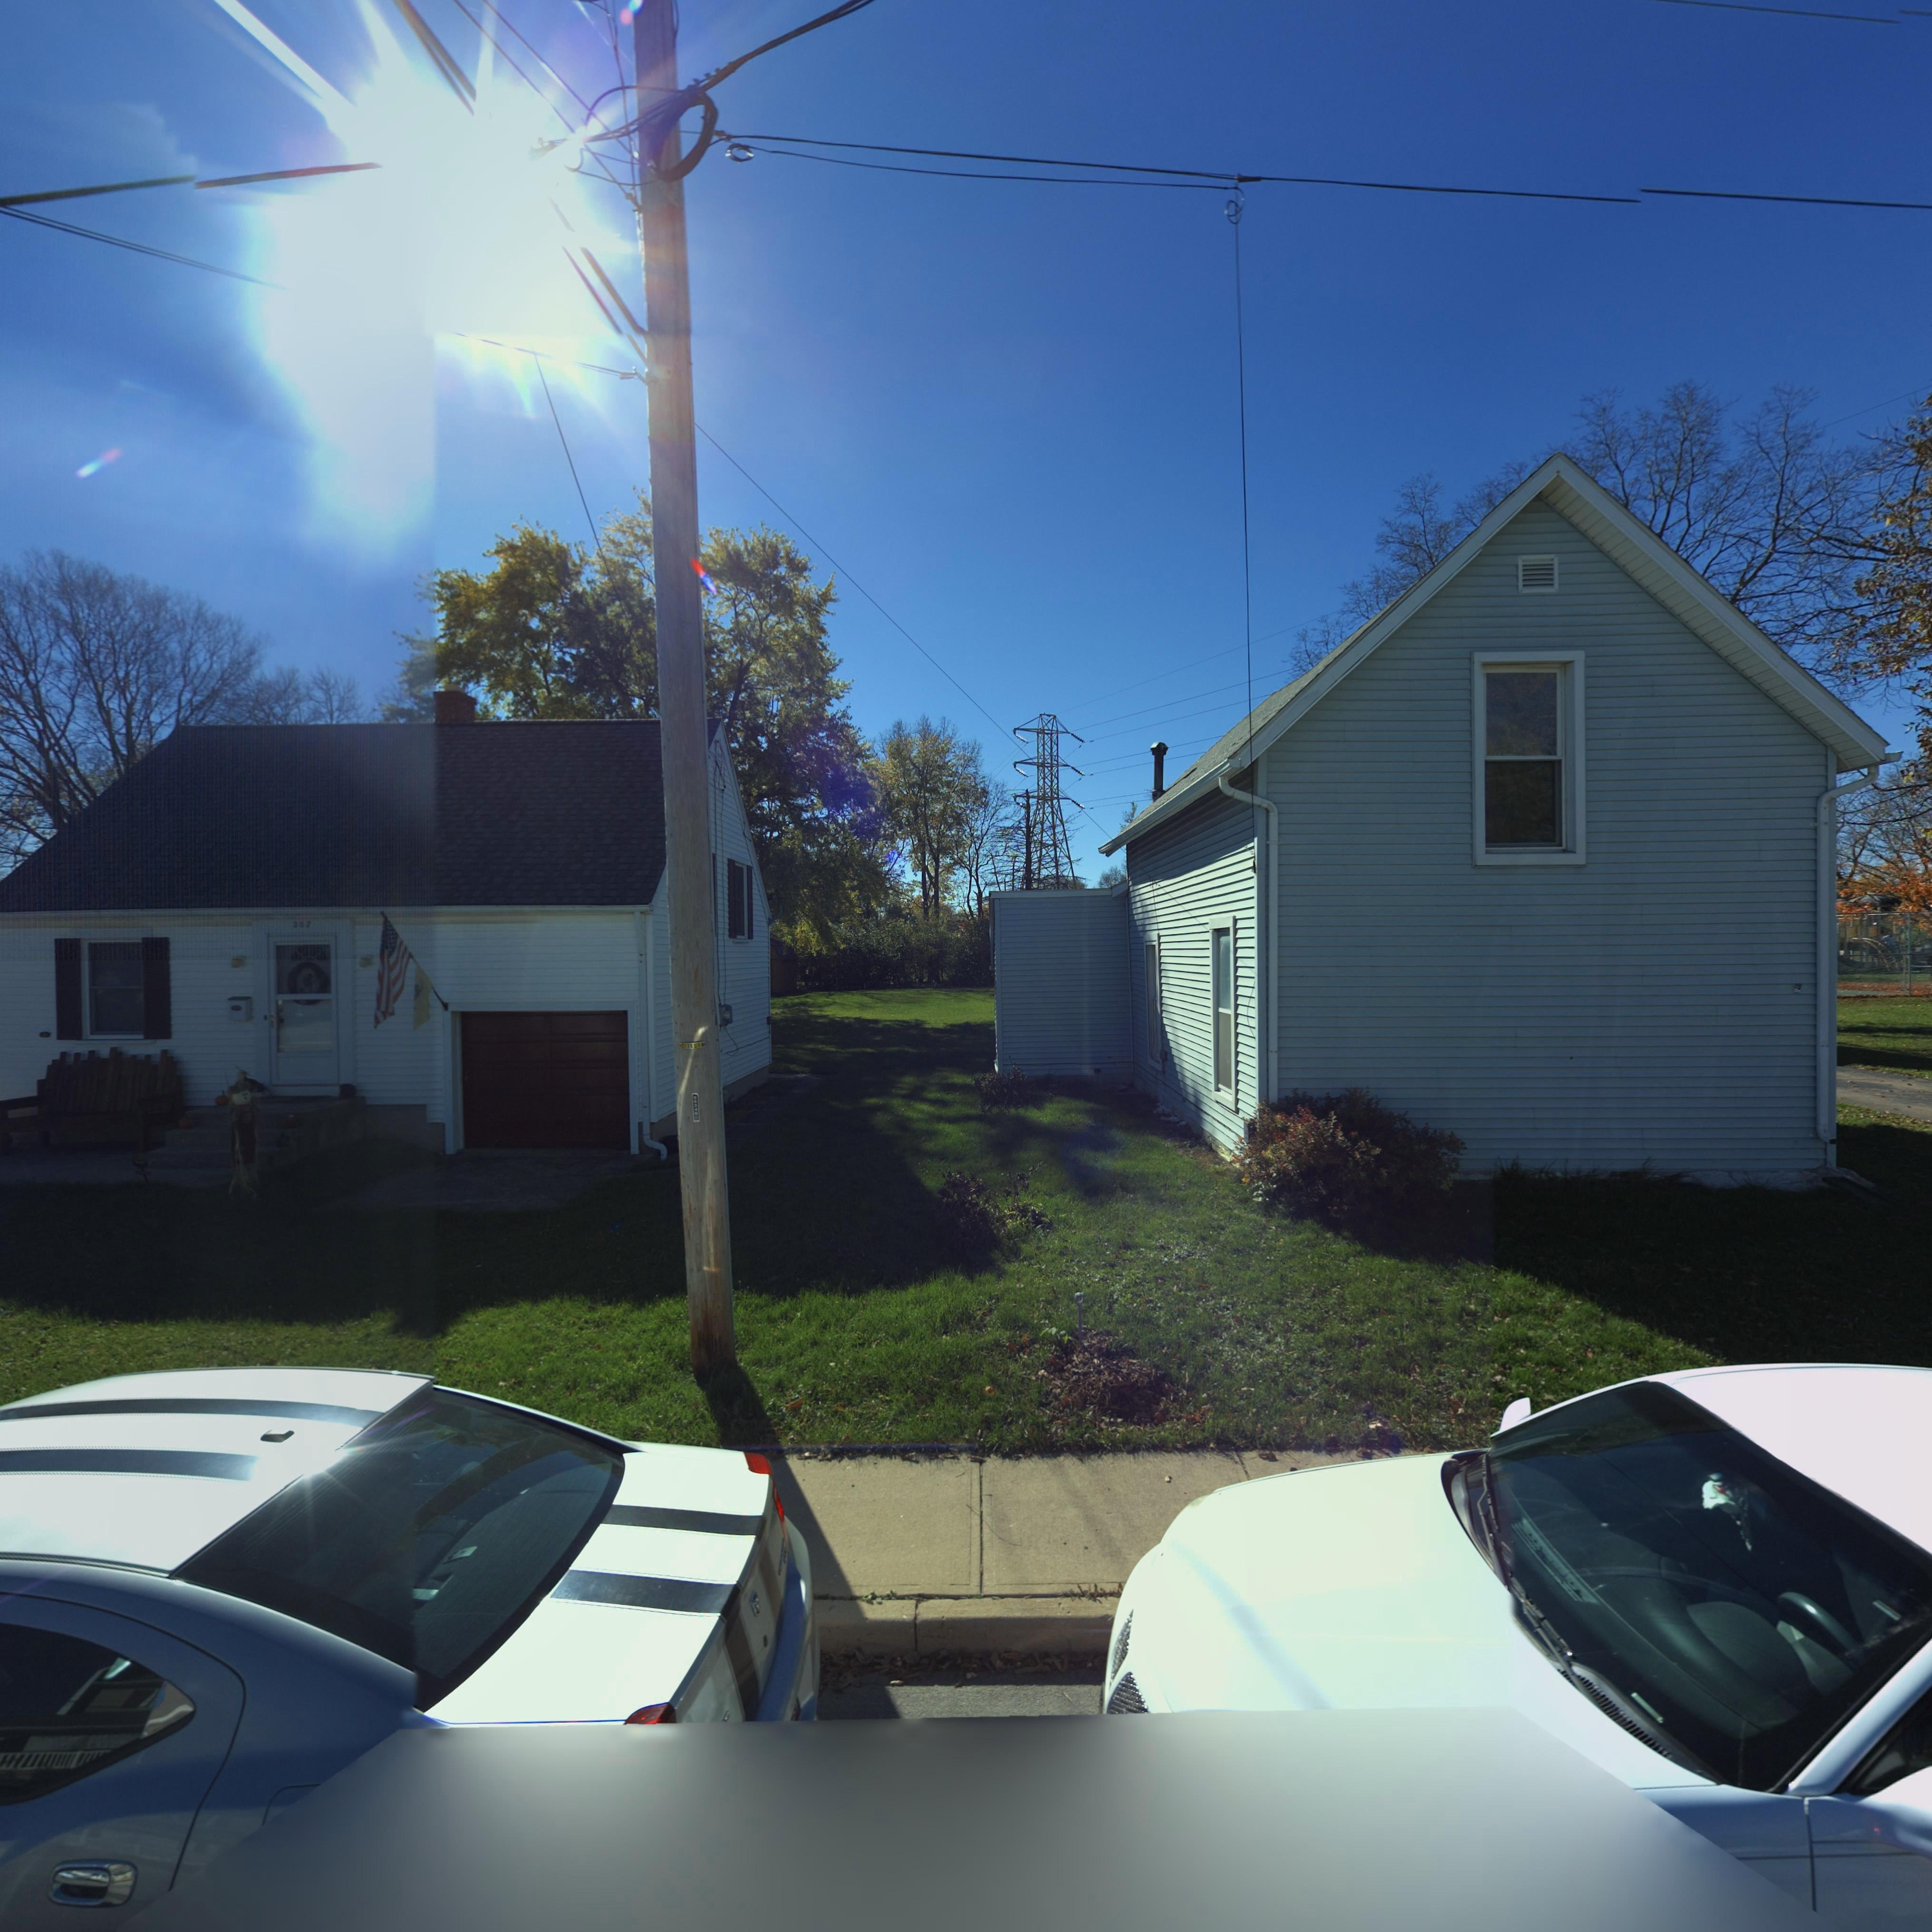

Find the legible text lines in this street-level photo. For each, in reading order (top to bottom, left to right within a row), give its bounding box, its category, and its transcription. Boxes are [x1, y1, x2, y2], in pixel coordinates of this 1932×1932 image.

[293, 920, 311, 928] StreetNumber: 207